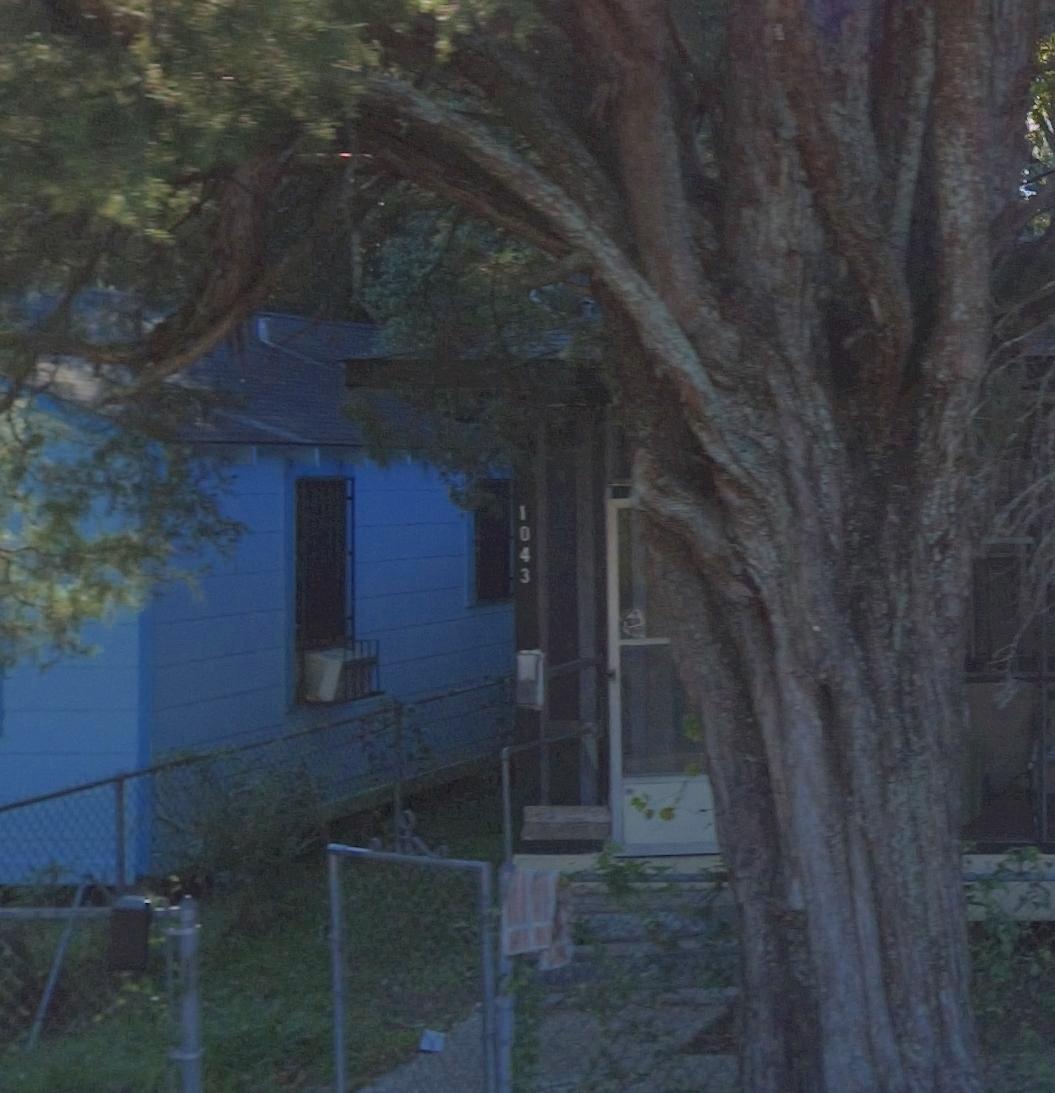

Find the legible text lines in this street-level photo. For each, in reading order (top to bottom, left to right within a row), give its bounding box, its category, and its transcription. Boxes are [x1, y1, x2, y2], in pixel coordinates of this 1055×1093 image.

[516, 501, 533, 586] StreetNumber: 1043